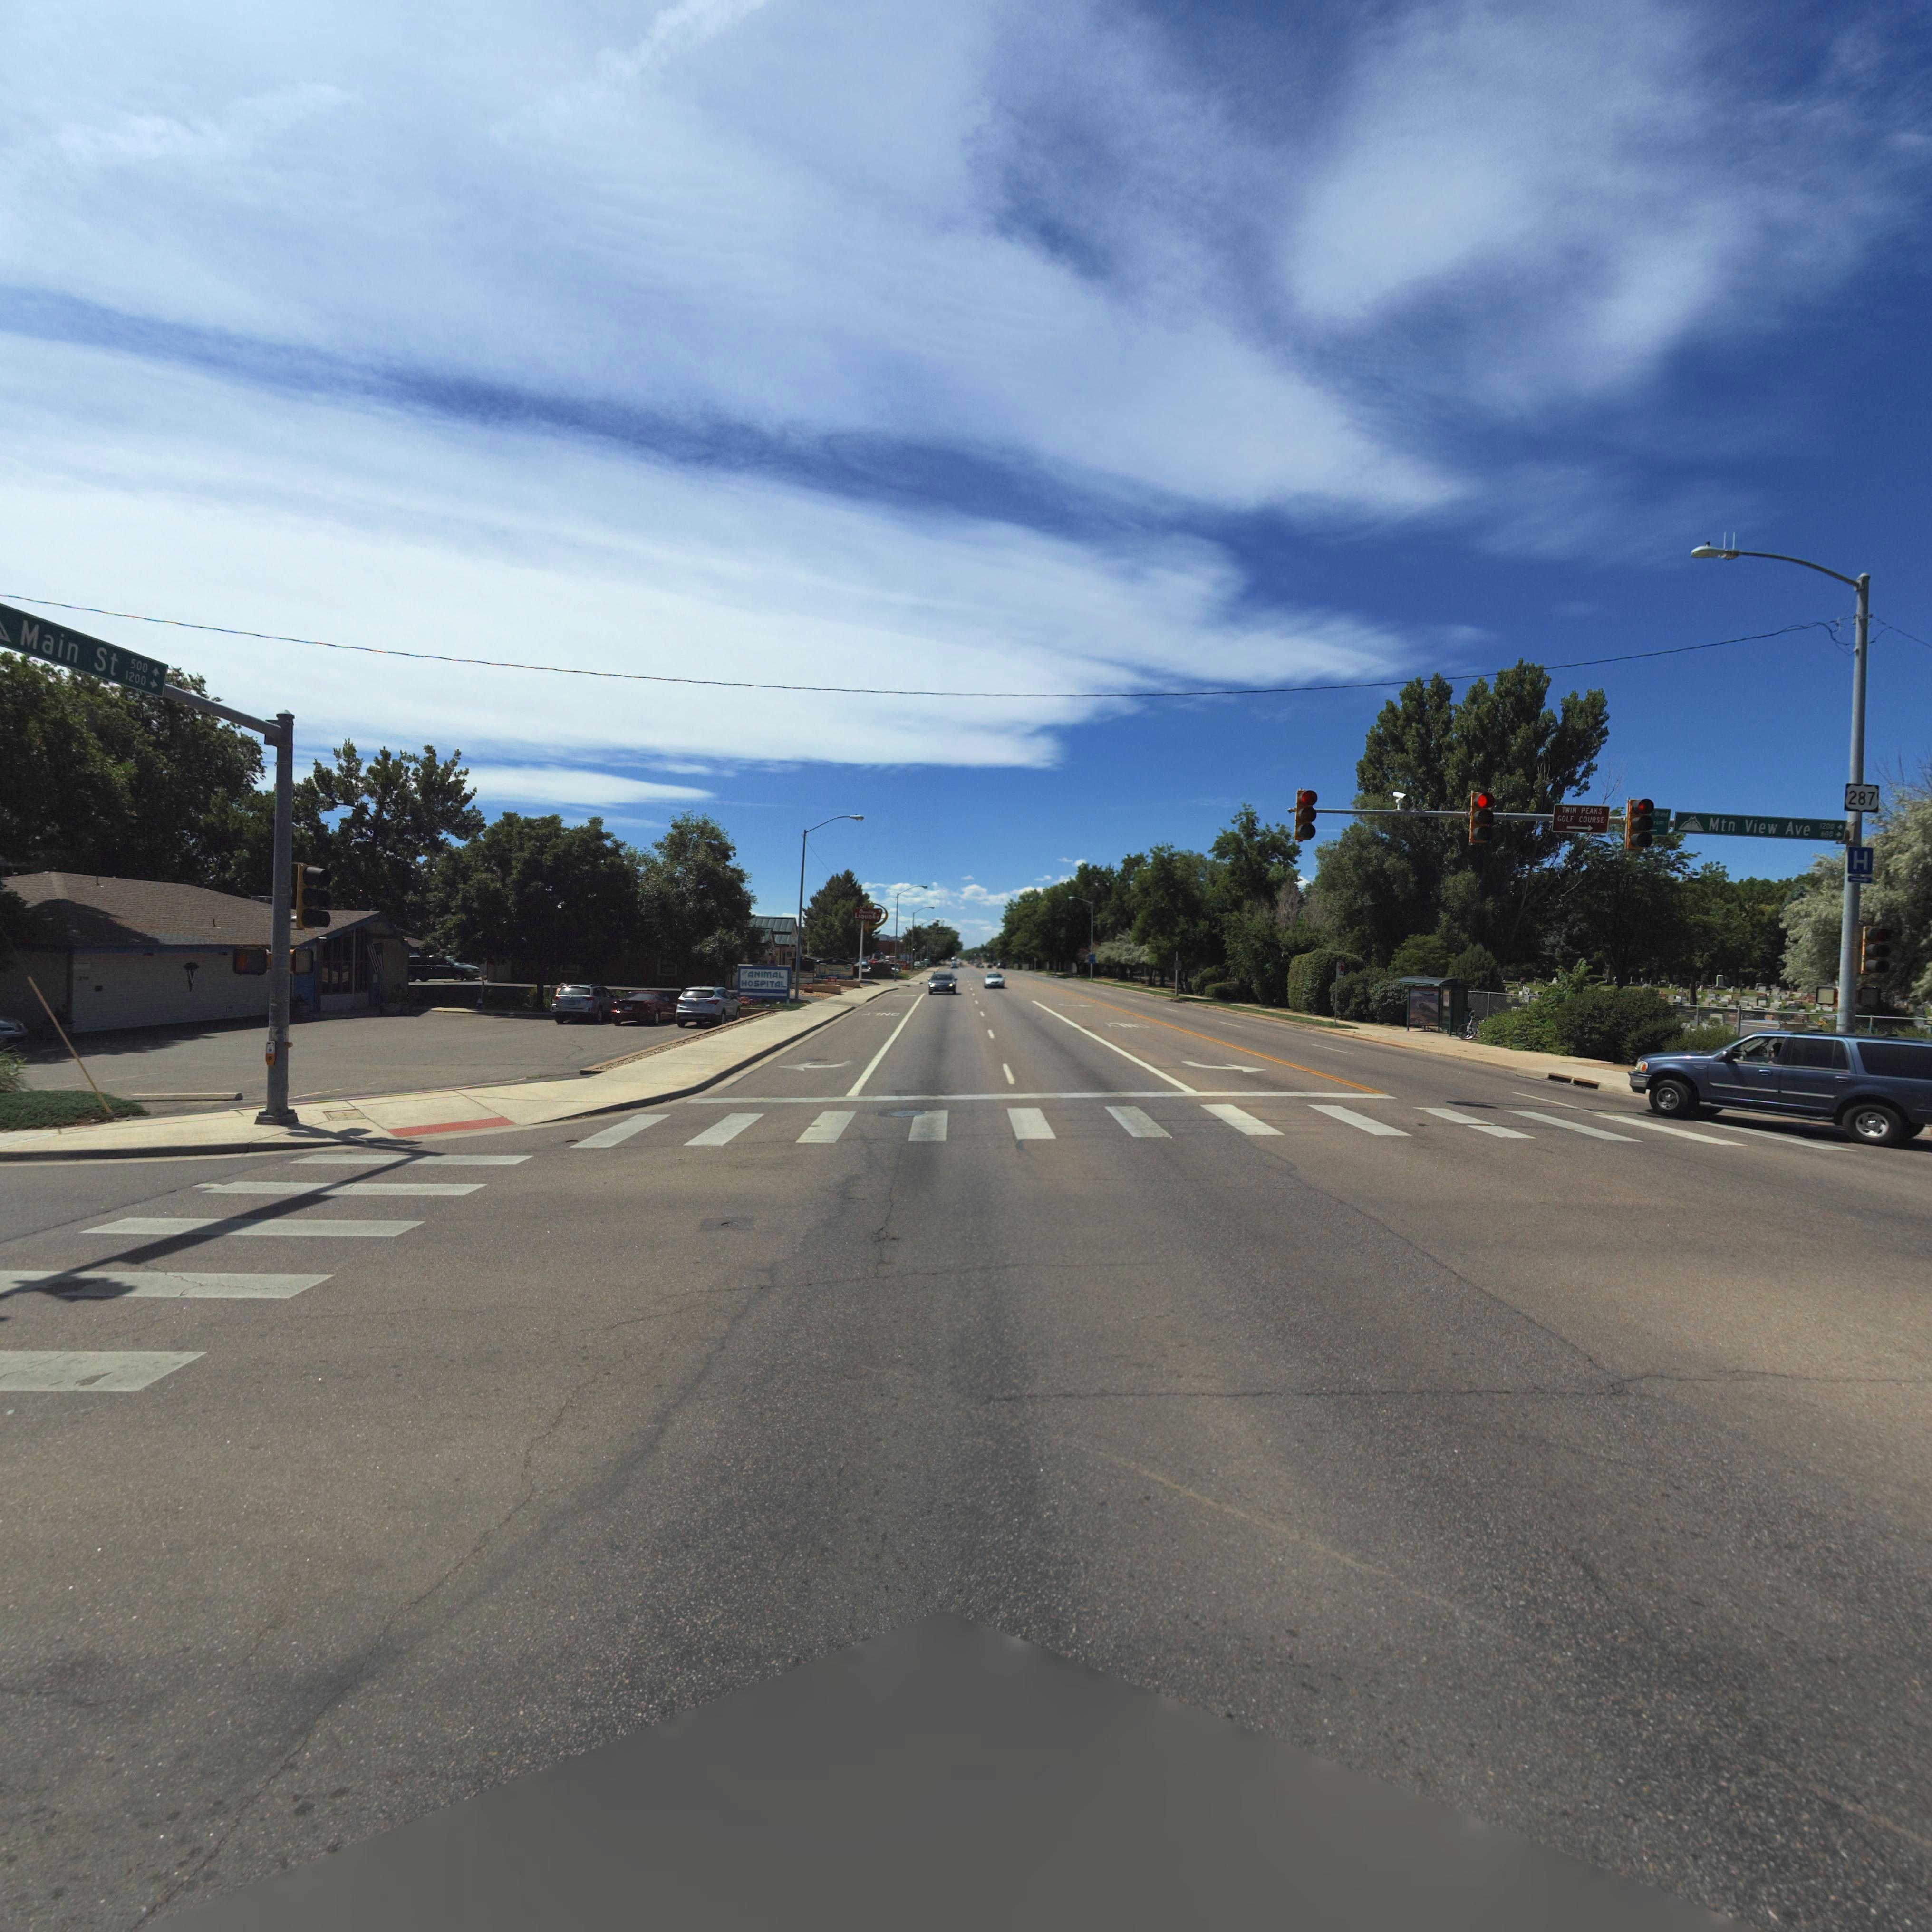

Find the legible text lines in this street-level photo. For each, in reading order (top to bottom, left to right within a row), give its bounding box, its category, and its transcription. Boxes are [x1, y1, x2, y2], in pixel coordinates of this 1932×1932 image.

[19, 618, 118, 677] StreetName: Main St
[130, 658, 148, 673] StreetNumberRange: 500
[126, 670, 159, 688] StreetNumberRange: 1200->
[1709, 817, 1810, 836] StreetName: Mtn View Ave
[1819, 823, 1835, 830] StreetNumberRange: 1200
[1820, 830, 1843, 838] StreetNumberRange: *00->
[854, 912, 879, 919] BusinessName: LIQUORS
[859, 909, 876, 915] BusinessName: Q*****y
[747, 970, 784, 979] BusinessName: ANIMAL
[741, 980, 786, 988] BusinessName: HOSPITAL